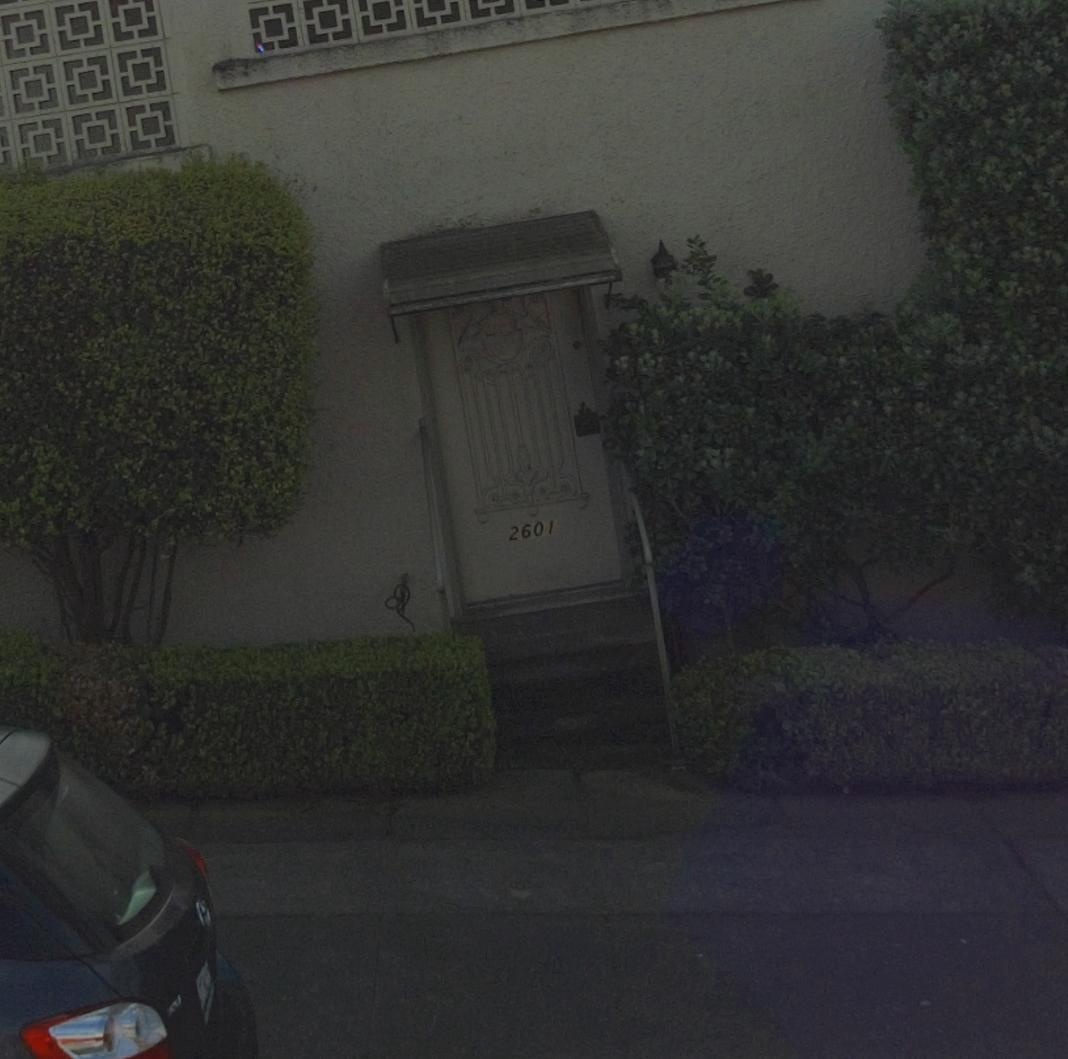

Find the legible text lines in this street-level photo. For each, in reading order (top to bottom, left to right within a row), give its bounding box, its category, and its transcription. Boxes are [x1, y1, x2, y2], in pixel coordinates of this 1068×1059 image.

[506, 517, 557, 544] StreetNumber: 2601